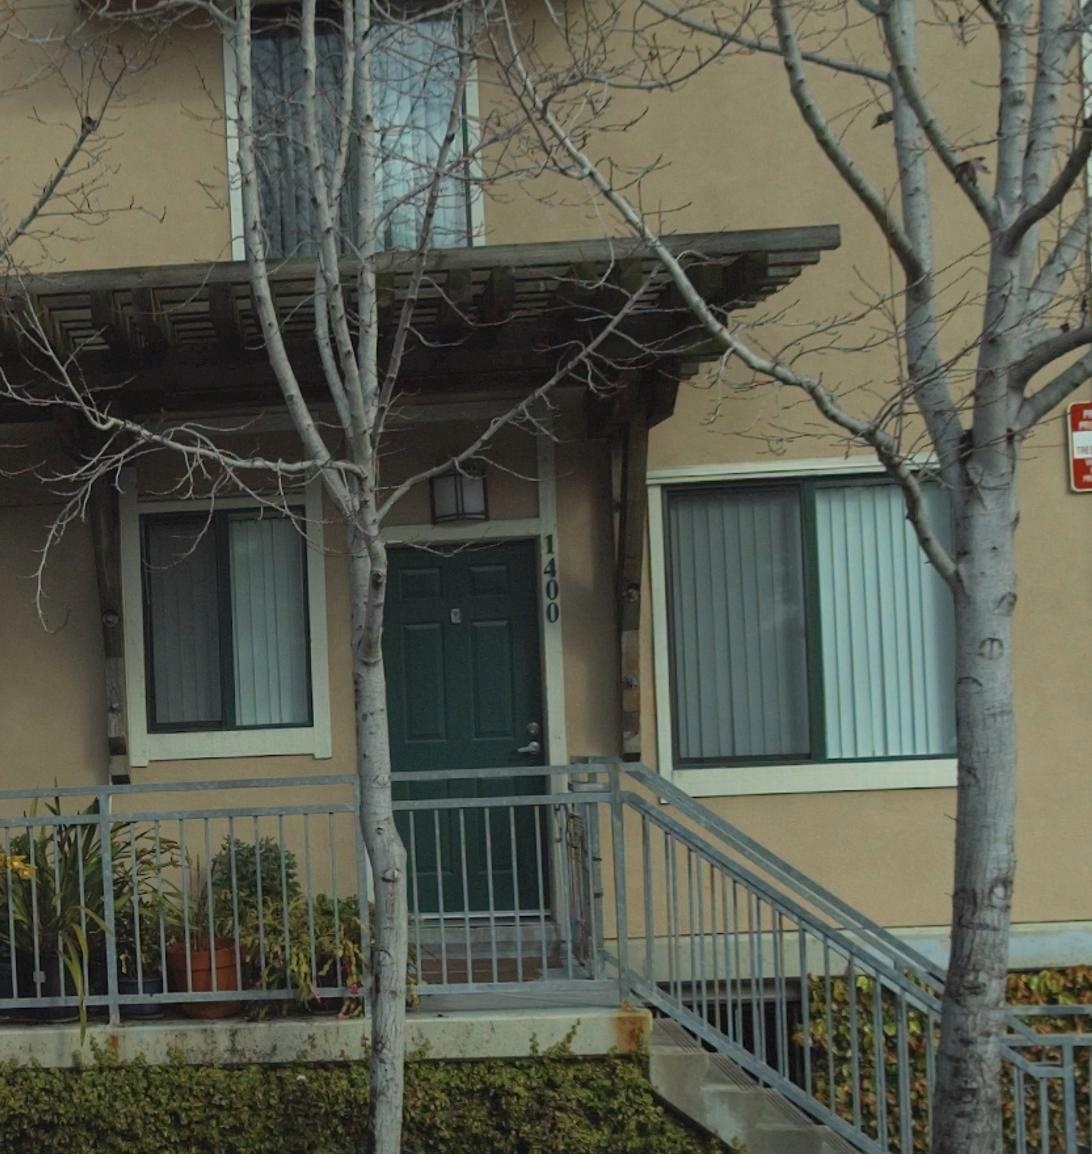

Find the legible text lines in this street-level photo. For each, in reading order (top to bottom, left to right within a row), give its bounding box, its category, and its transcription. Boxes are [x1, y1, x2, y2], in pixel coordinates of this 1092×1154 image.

[541, 531, 562, 626] StreetNumber: 1400